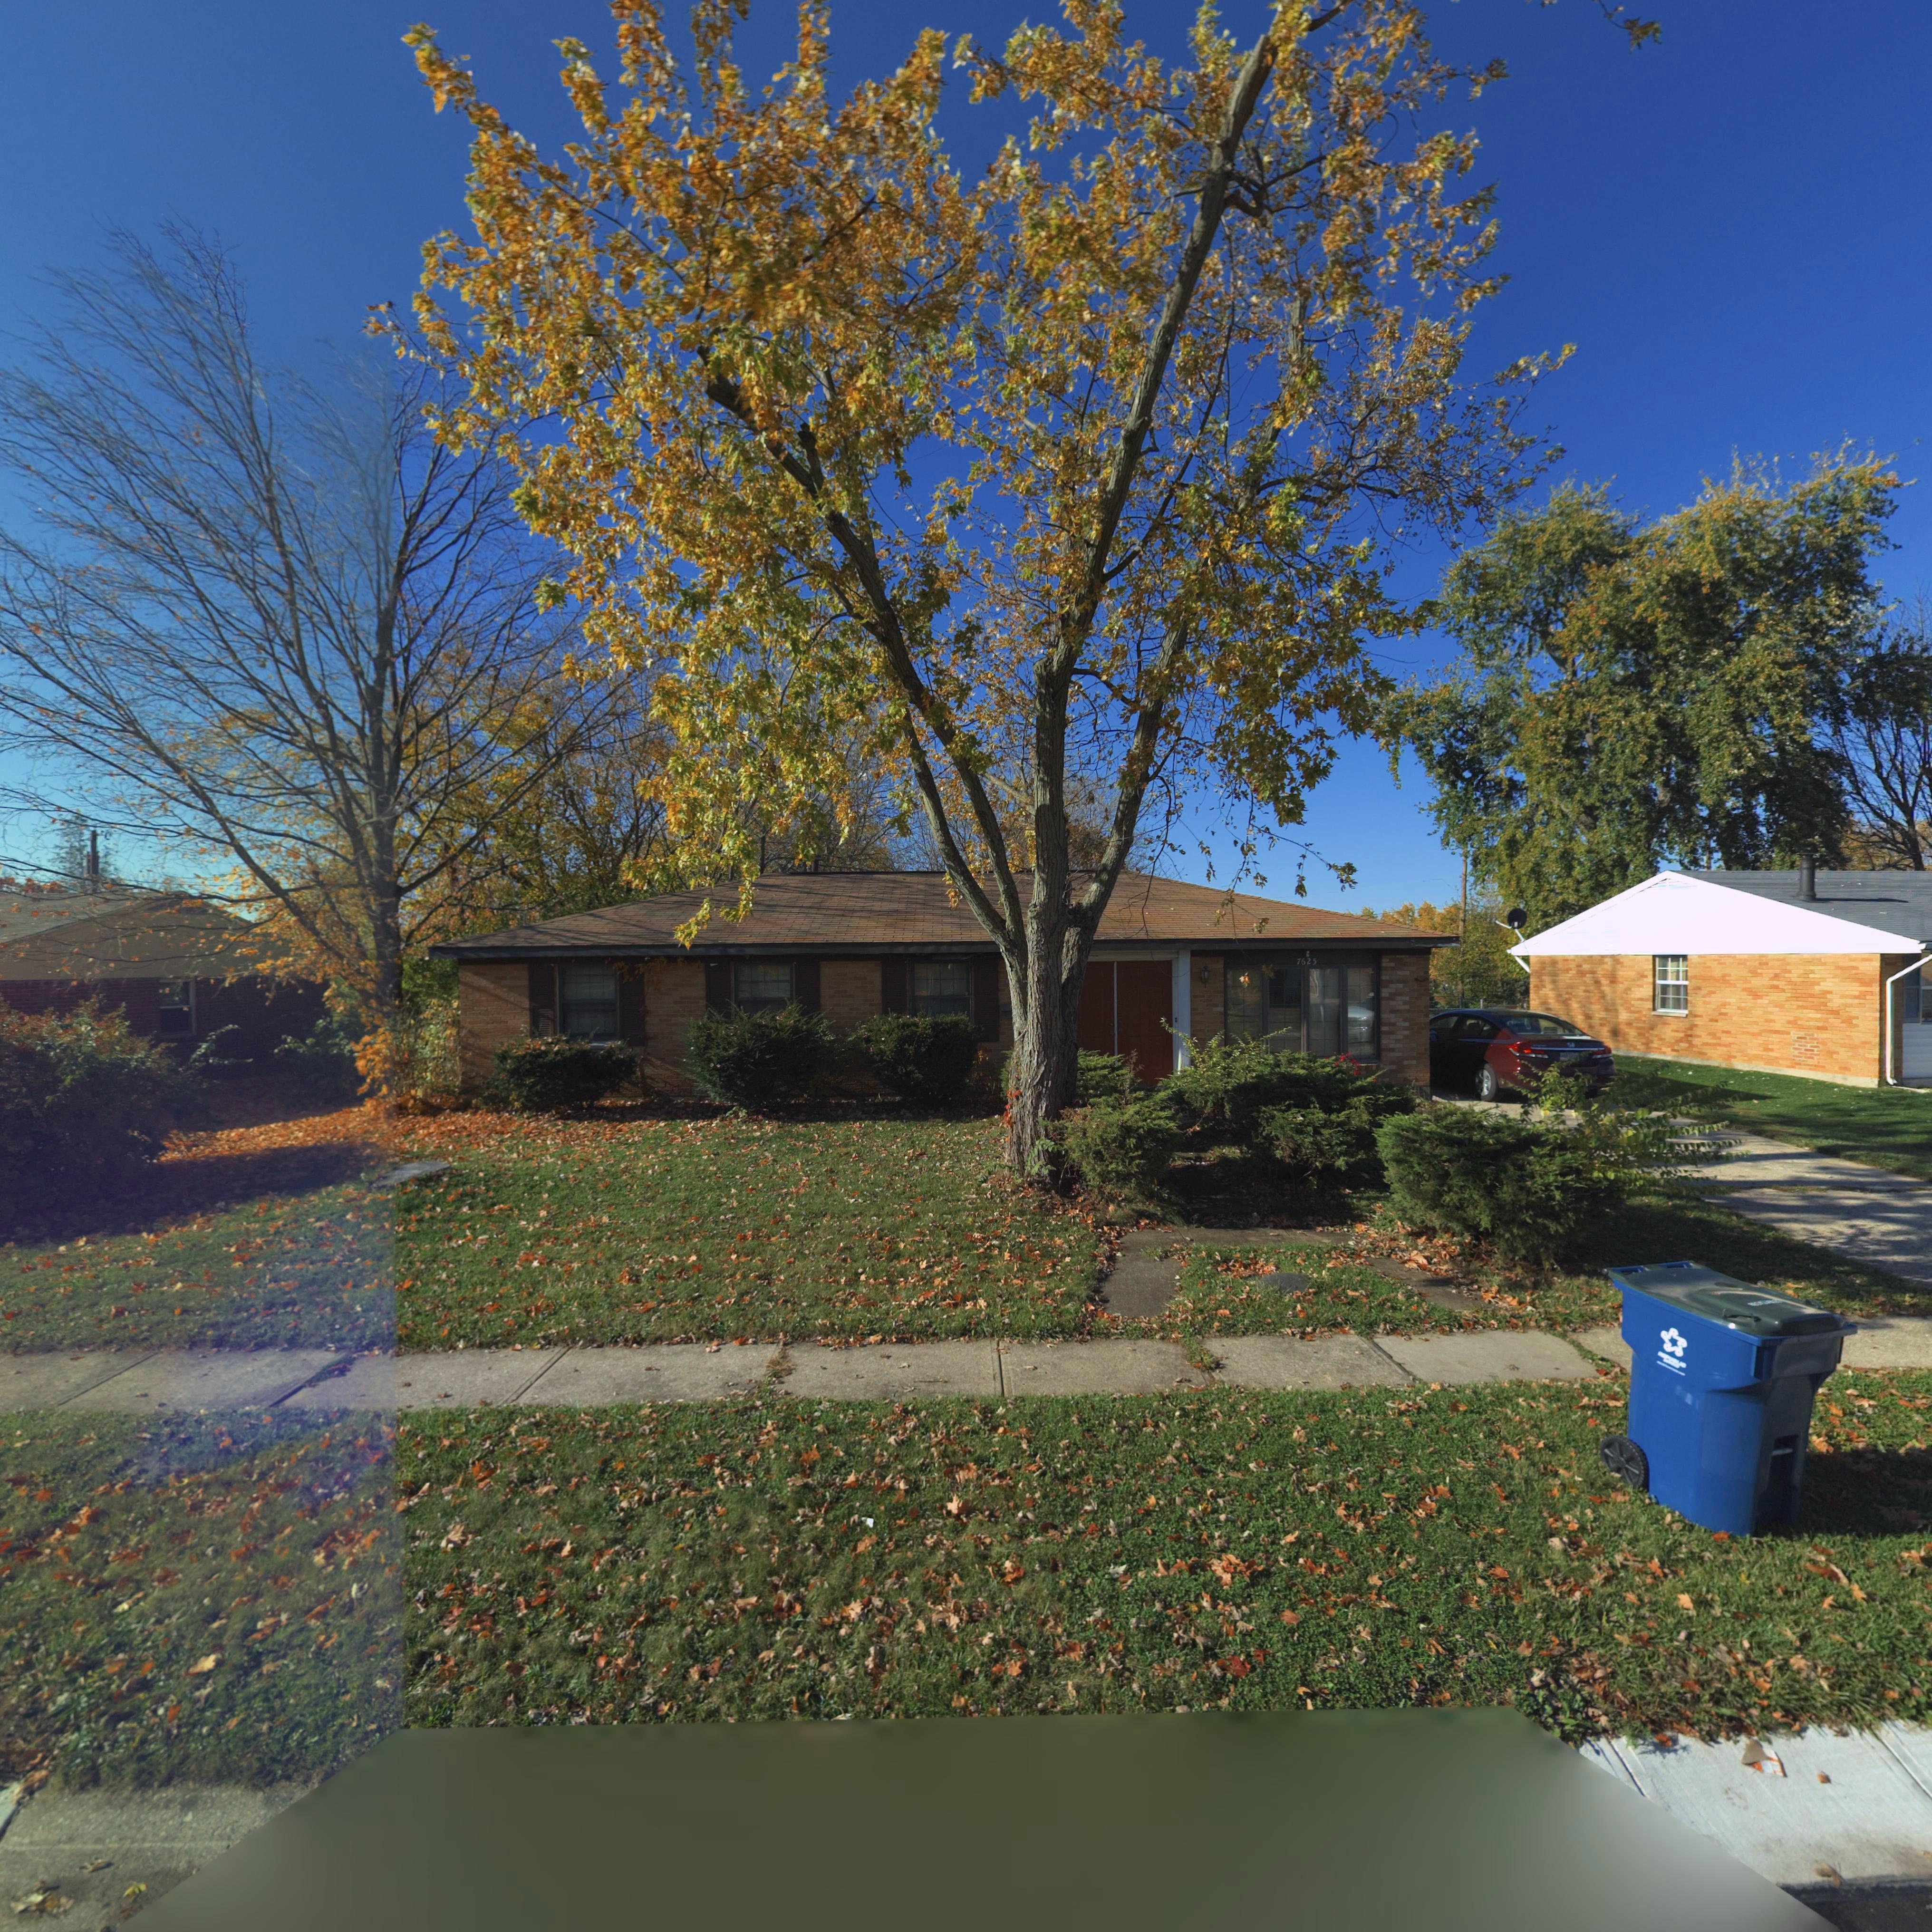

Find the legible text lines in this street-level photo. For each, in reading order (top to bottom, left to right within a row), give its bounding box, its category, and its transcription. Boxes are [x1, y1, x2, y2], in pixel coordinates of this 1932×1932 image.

[1295, 956, 1318, 966] StreetNumber: 7625